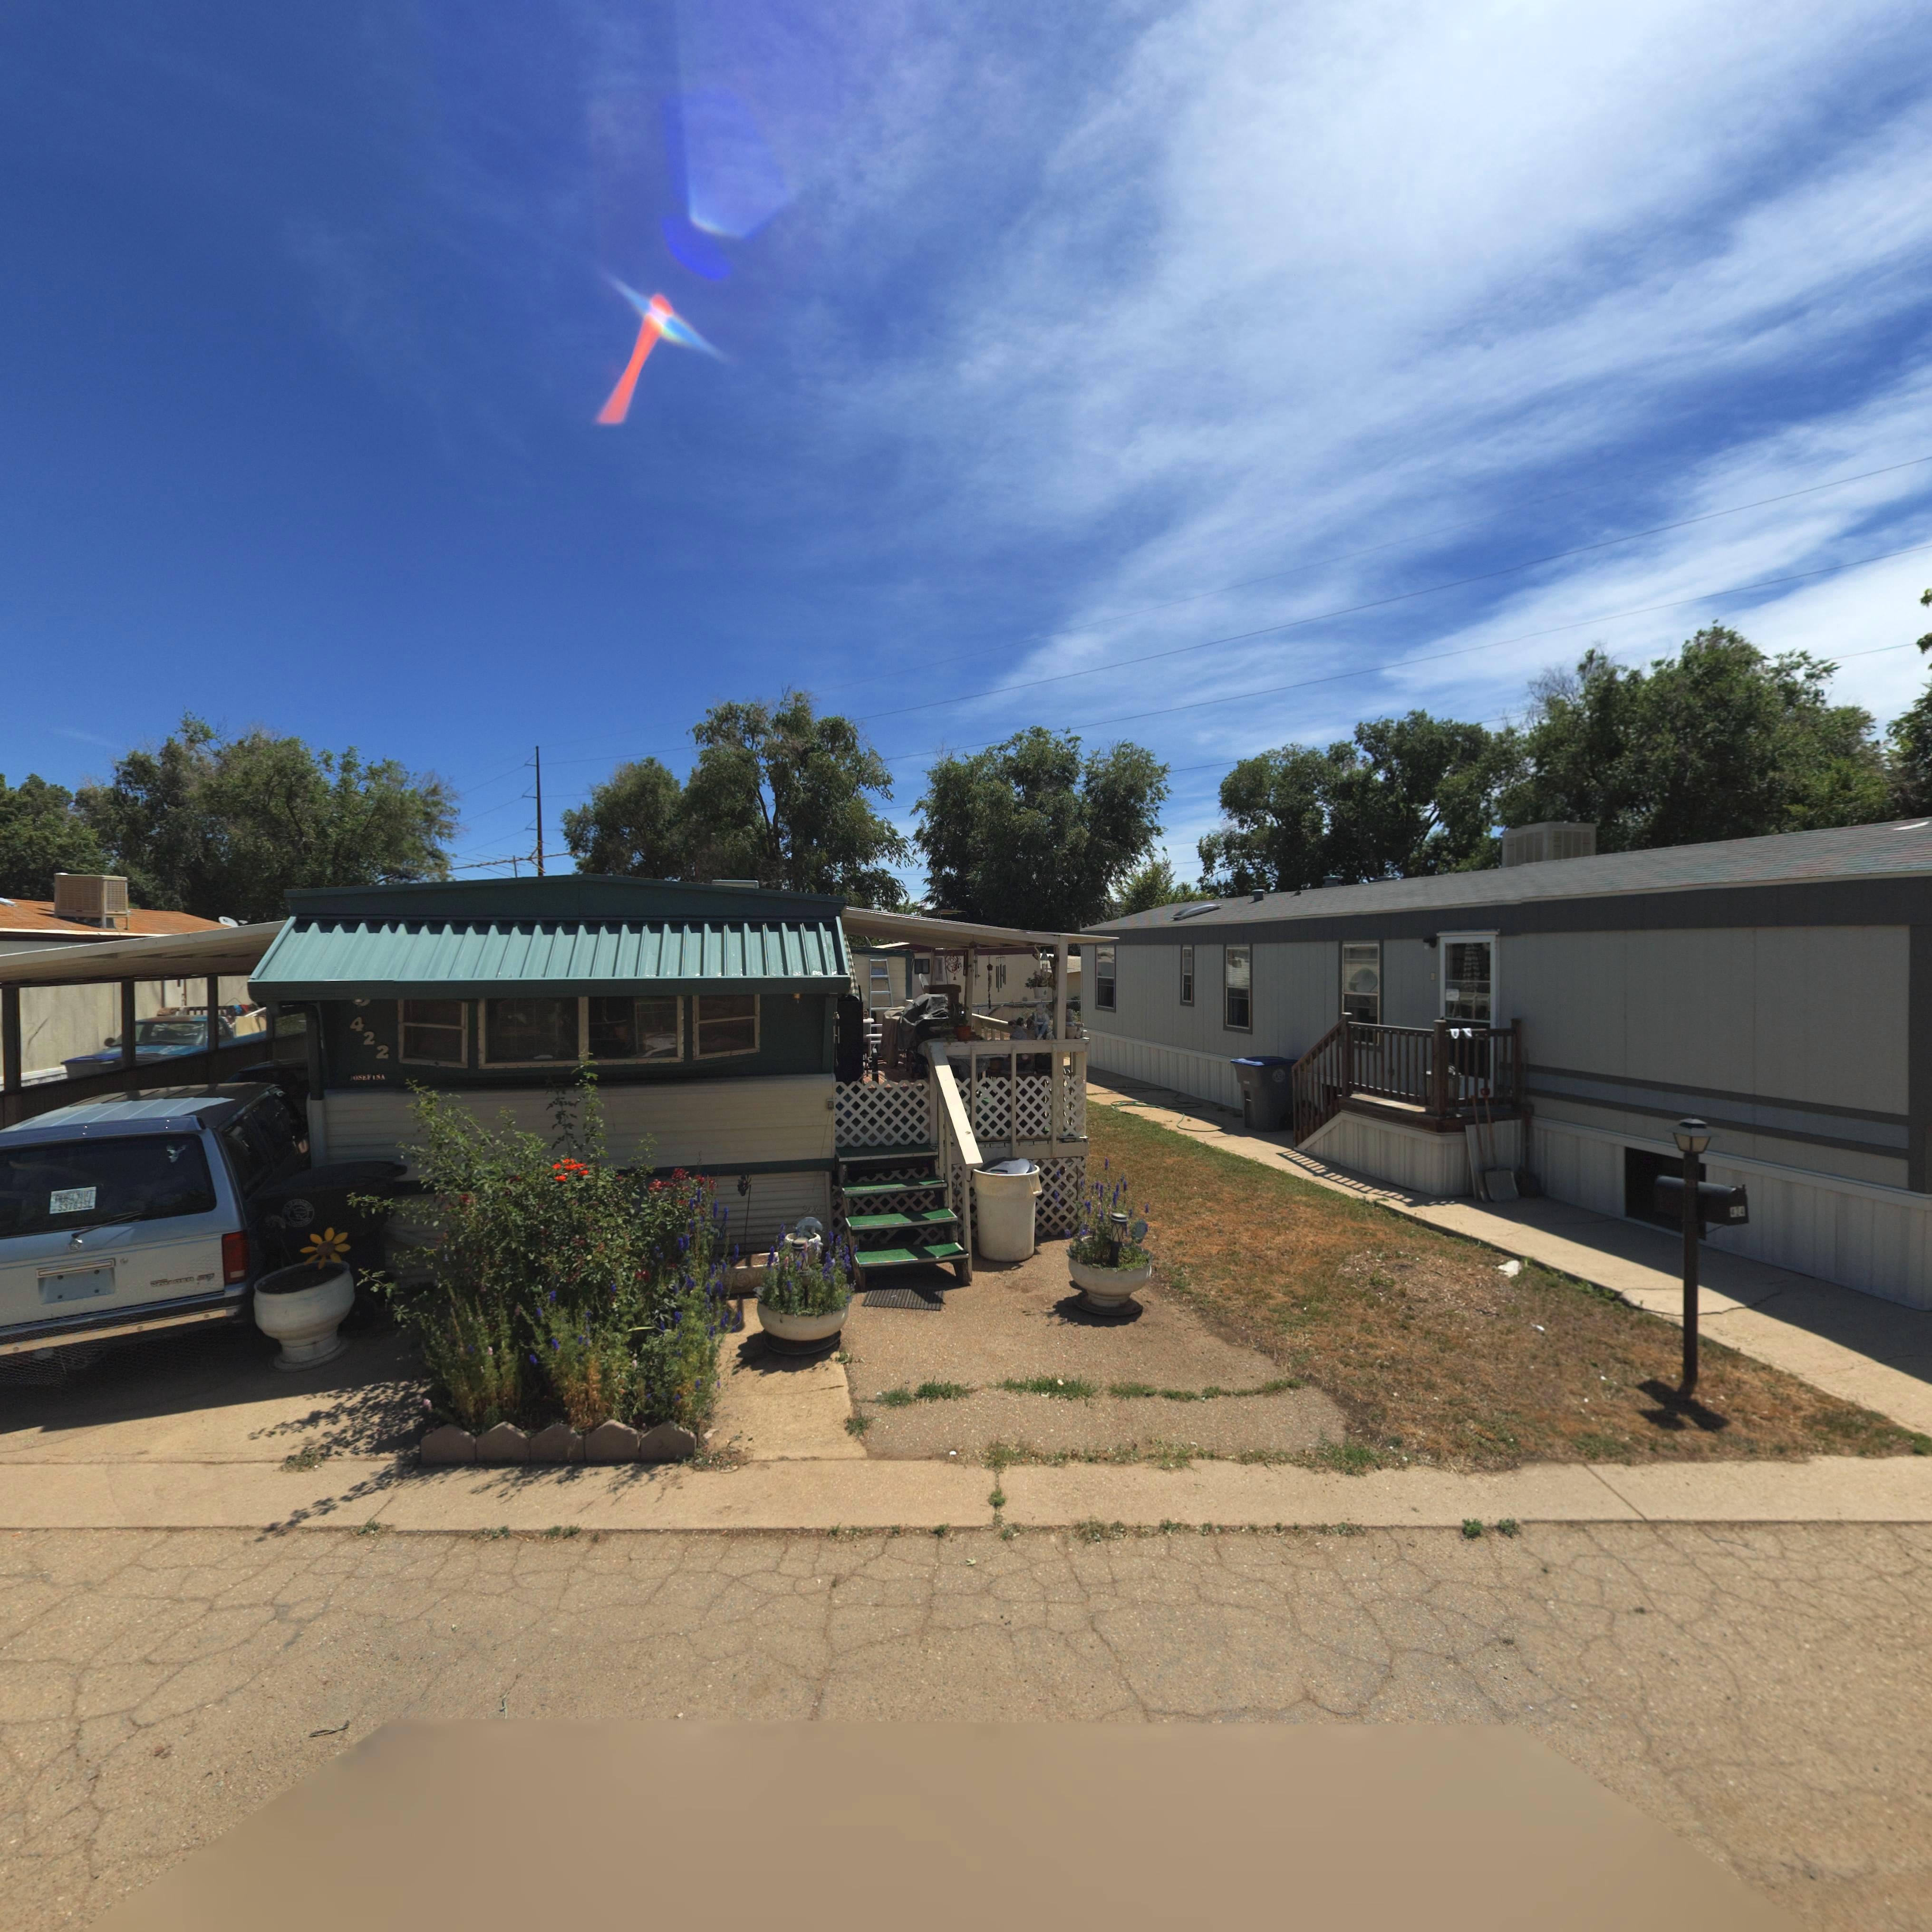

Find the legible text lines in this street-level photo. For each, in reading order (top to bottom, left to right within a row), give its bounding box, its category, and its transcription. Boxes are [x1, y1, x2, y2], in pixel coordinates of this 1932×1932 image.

[349, 1016, 389, 1059] StreetNumber: 422
[1731, 1206, 1745, 1217] StreetNumber: *24